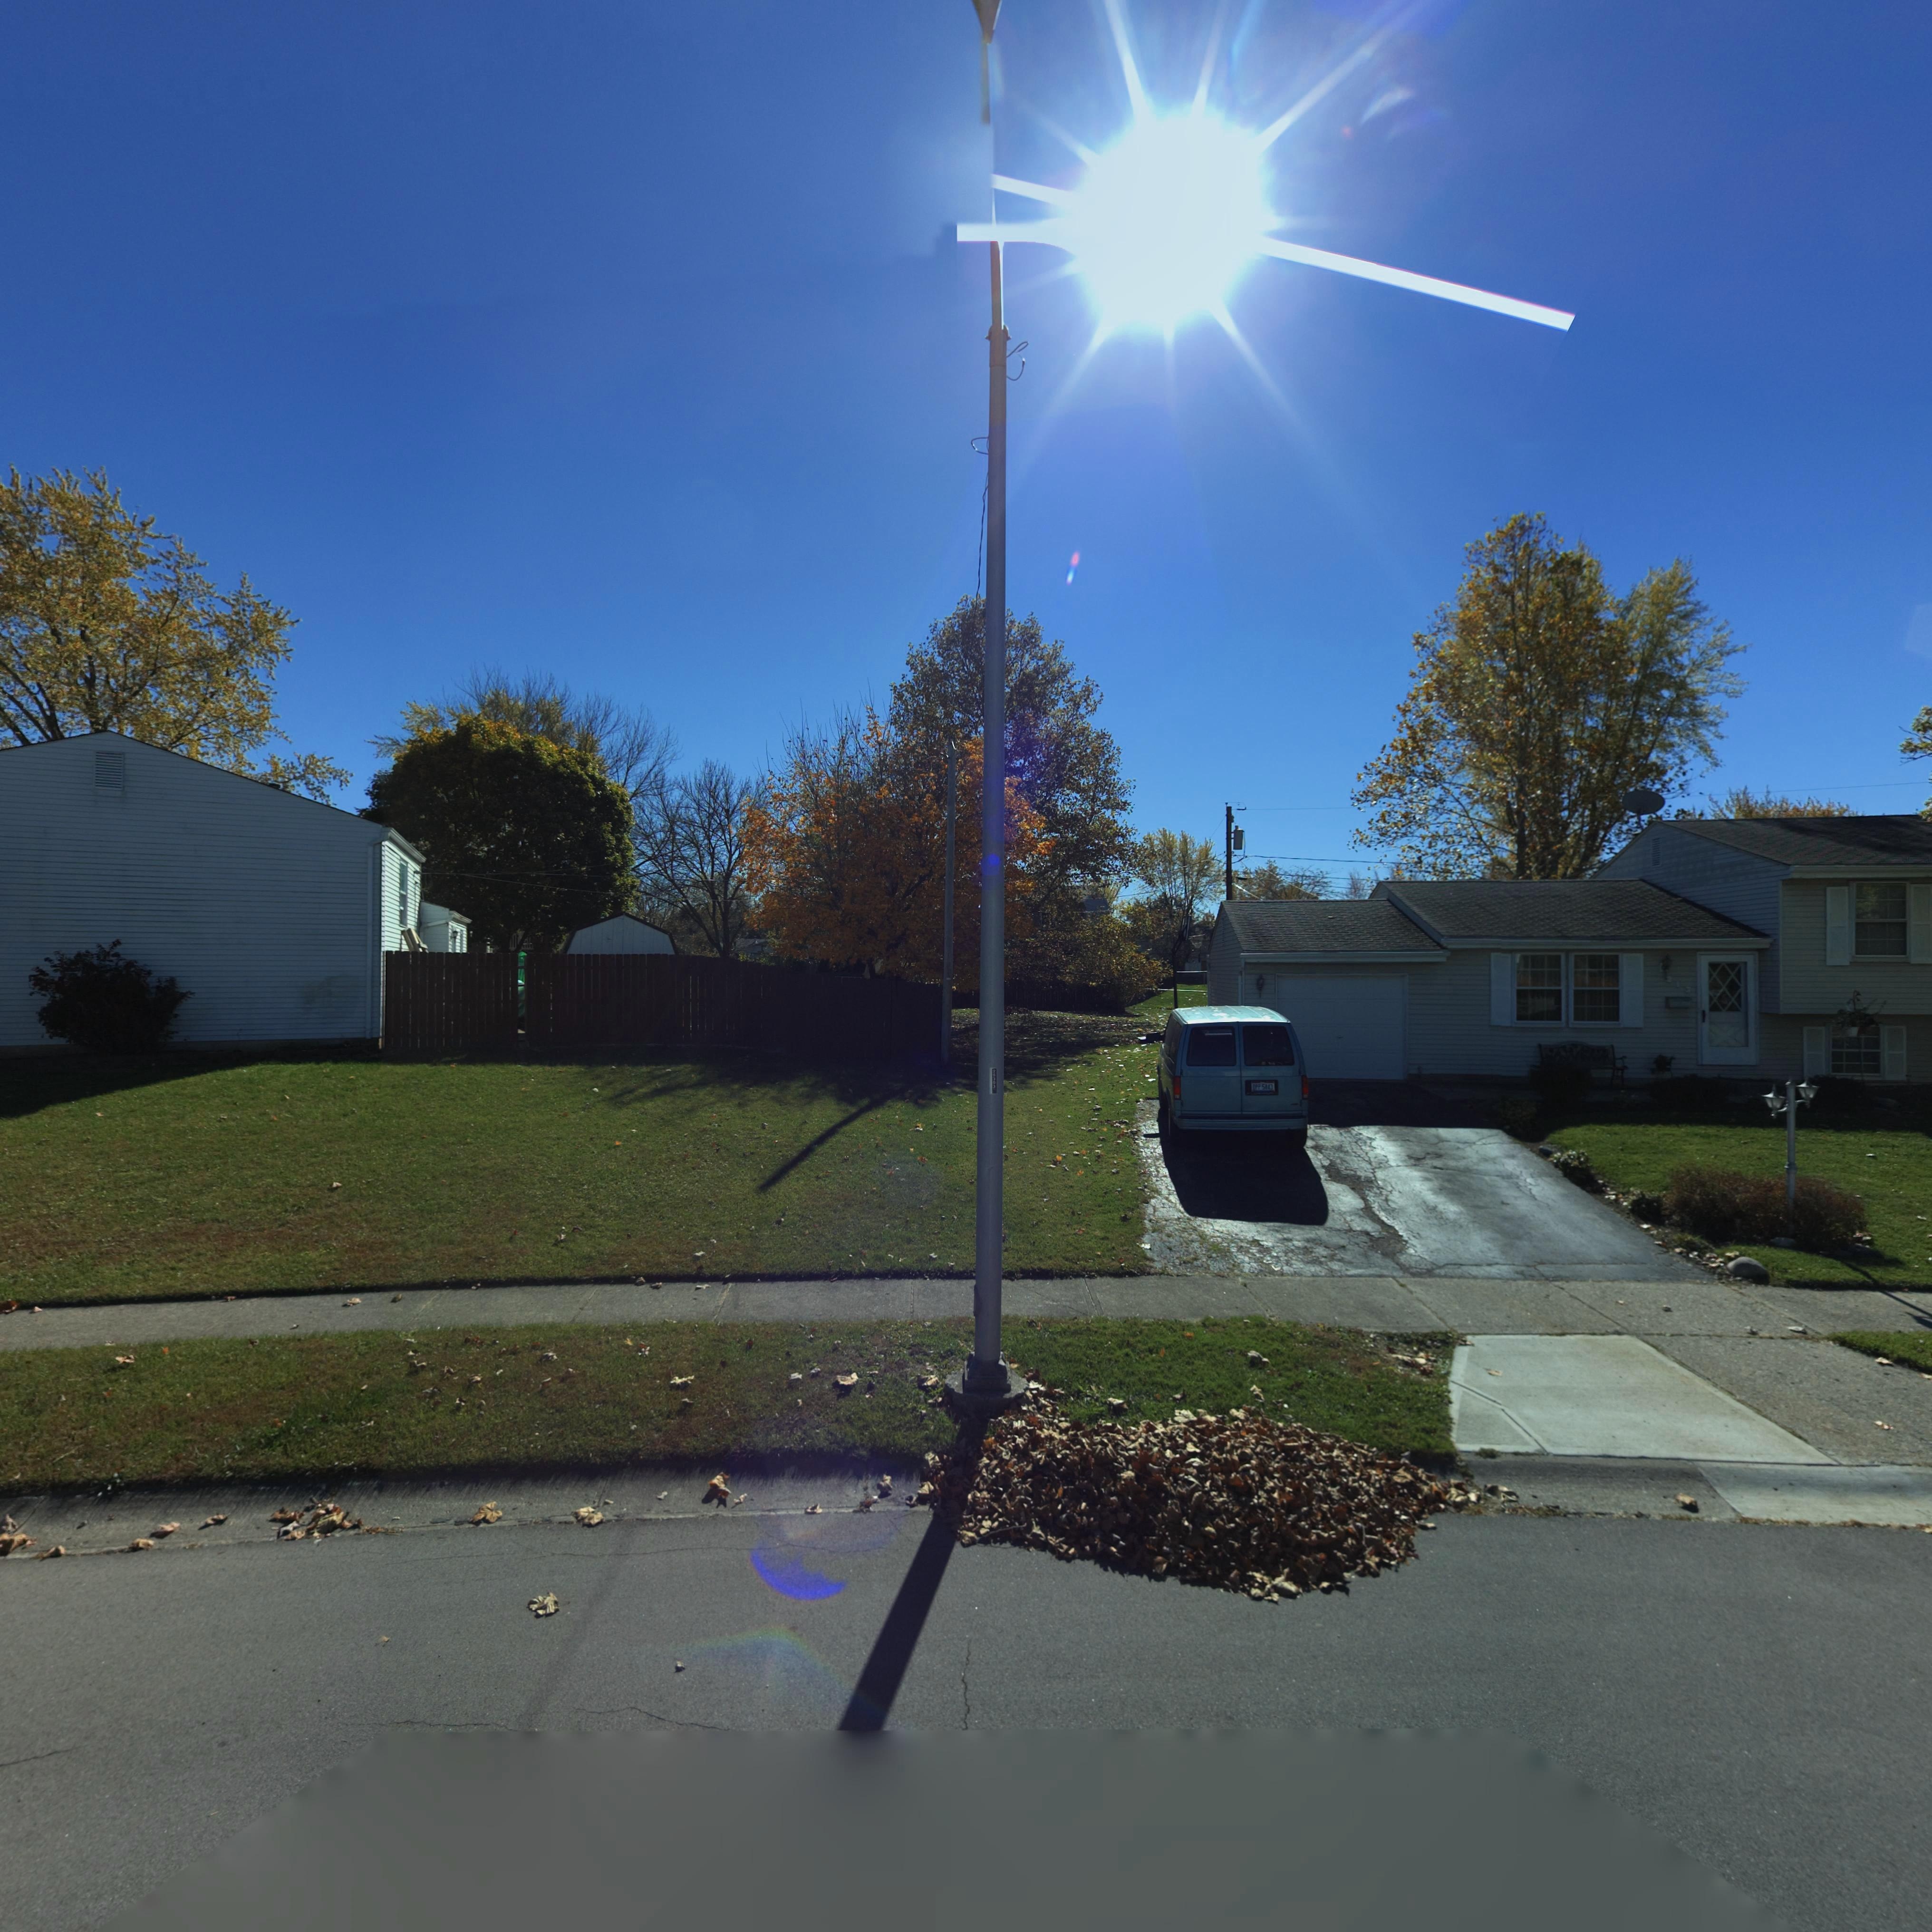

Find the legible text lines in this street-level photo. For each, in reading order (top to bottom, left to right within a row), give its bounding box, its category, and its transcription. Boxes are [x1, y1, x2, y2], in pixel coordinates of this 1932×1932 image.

[1666, 975, 1692, 994] StreetNumber: 213